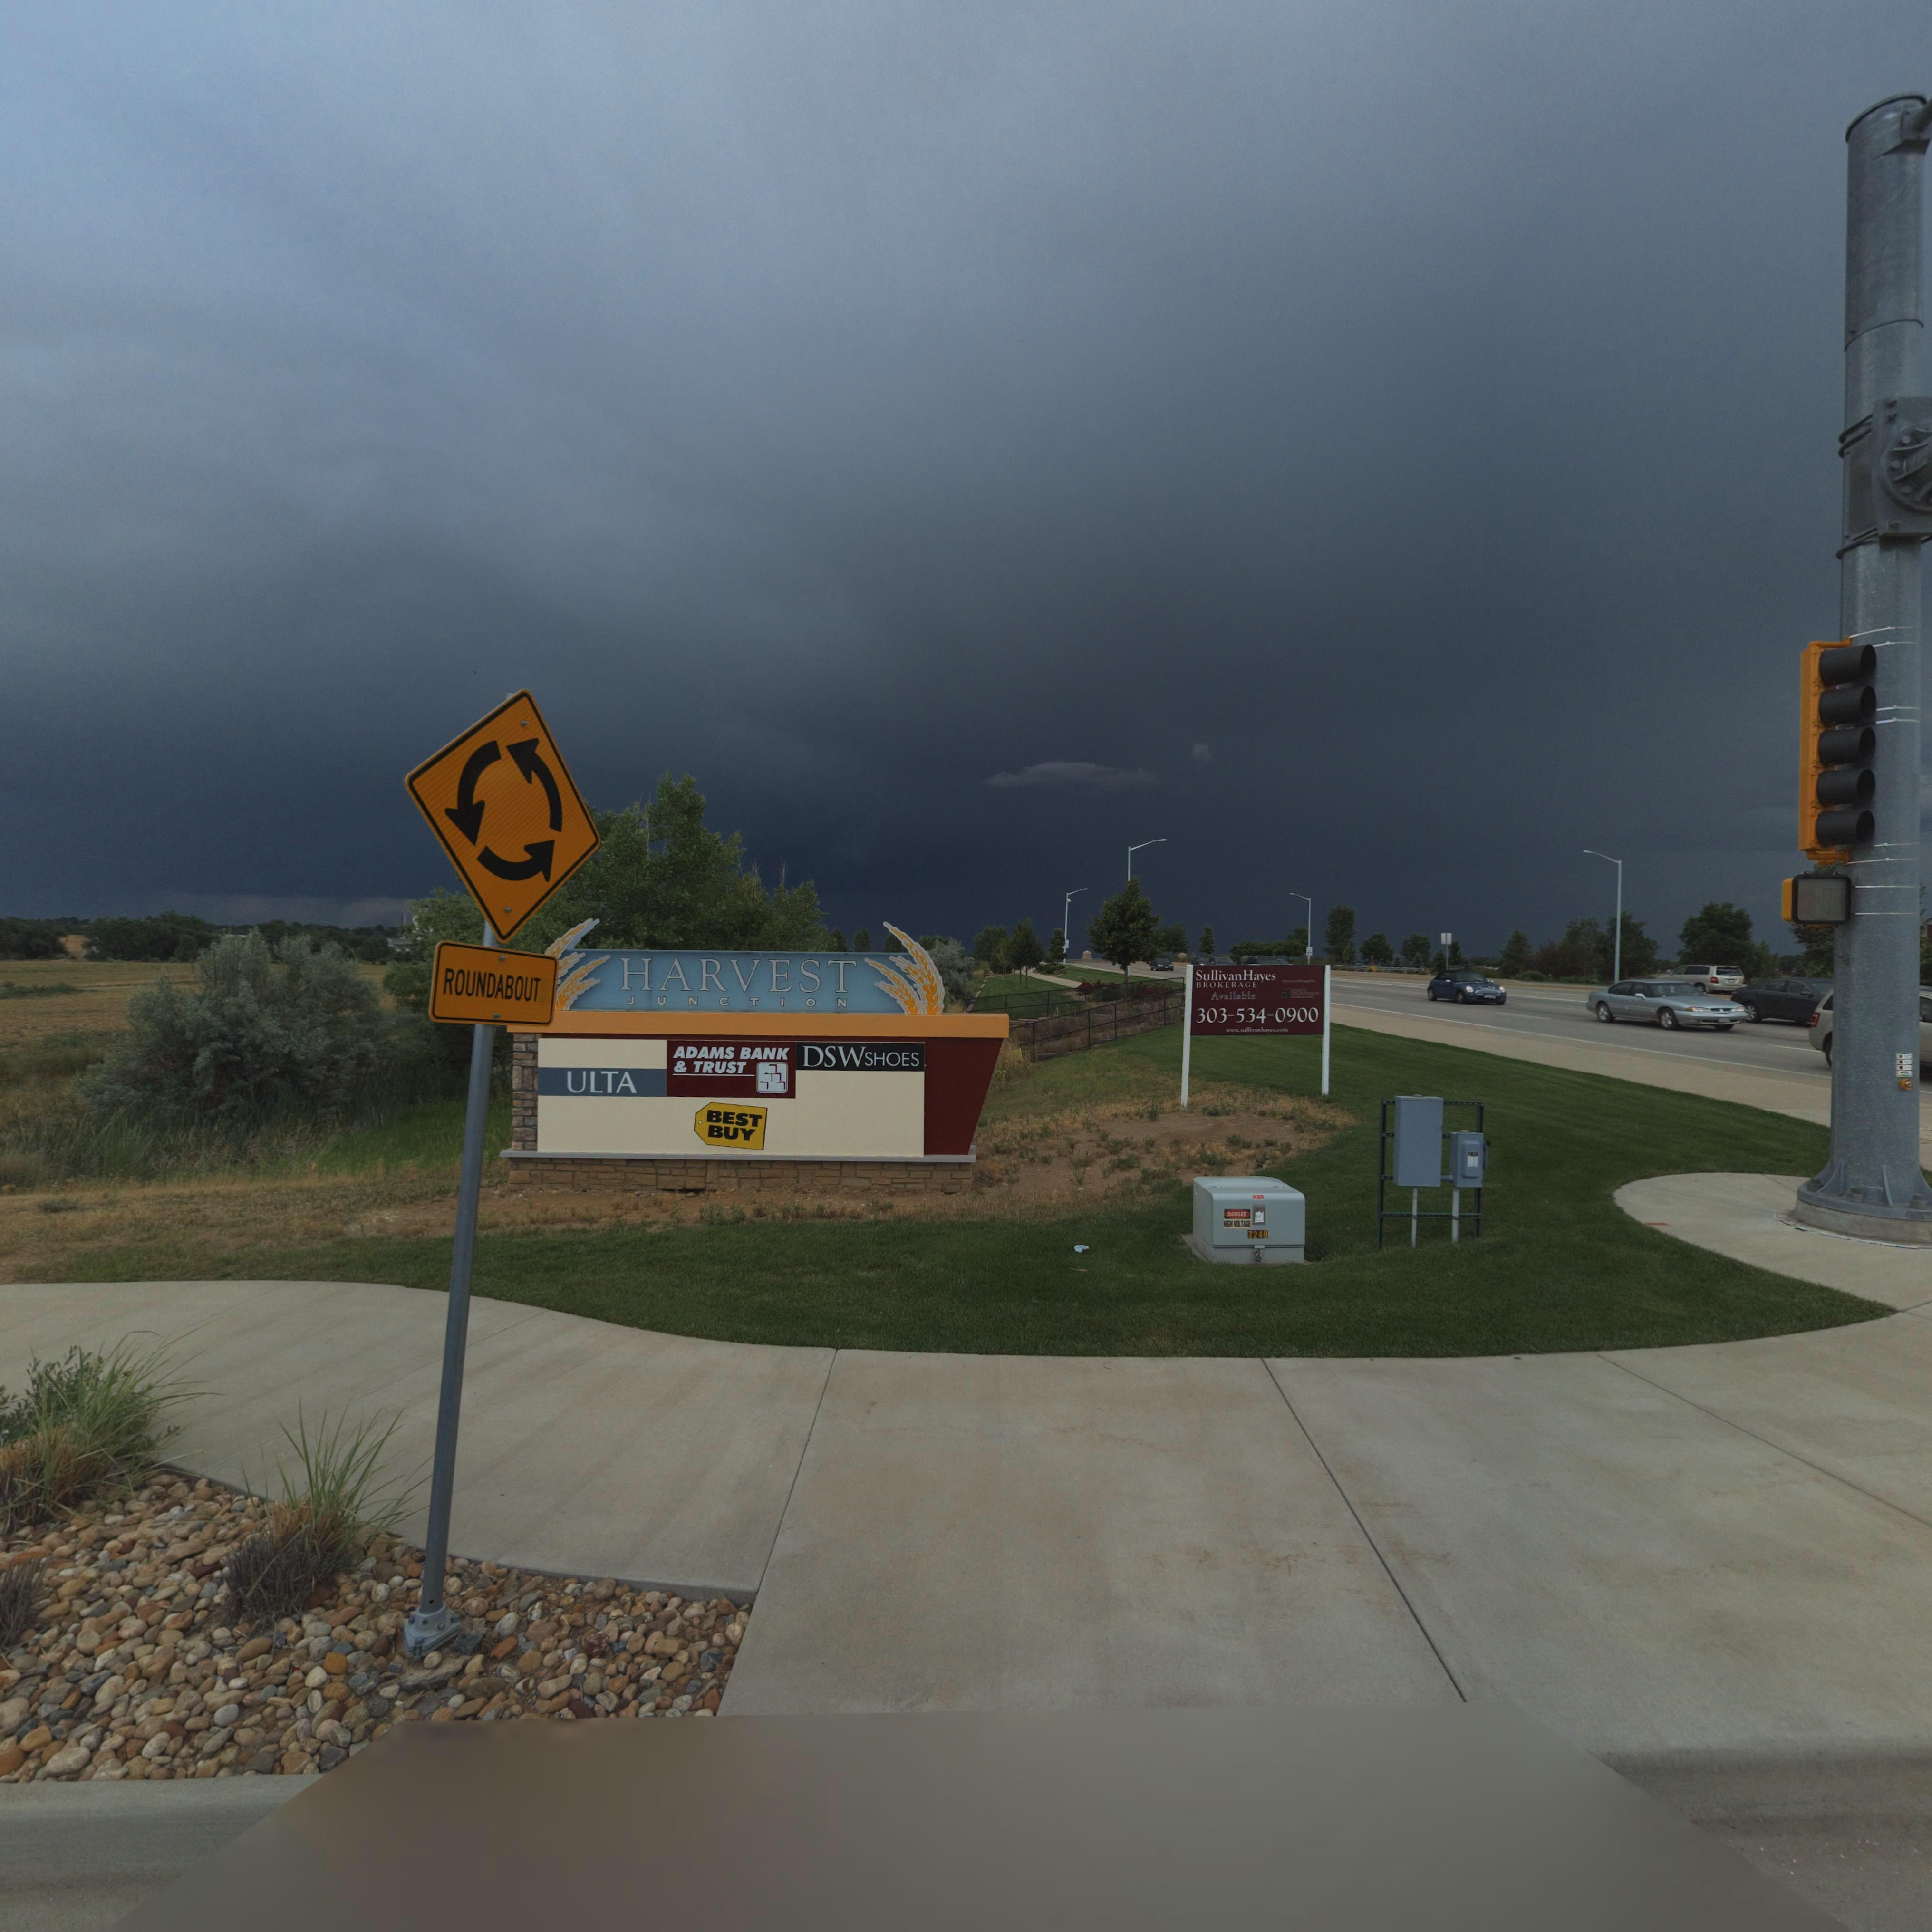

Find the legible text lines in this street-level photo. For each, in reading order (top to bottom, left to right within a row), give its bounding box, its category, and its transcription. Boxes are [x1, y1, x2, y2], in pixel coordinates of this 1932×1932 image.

[672, 1046, 790, 1059] BusinessName: ADAMS BANK
[802, 1046, 919, 1067] BusinessName: DSWSHOES
[673, 1060, 747, 1073] BusinessName: & TRUST
[566, 1070, 638, 1093] BusinessName: ULTA
[706, 1109, 763, 1127] BusinessName: BEST
[707, 1124, 756, 1141] BusinessName: BUY